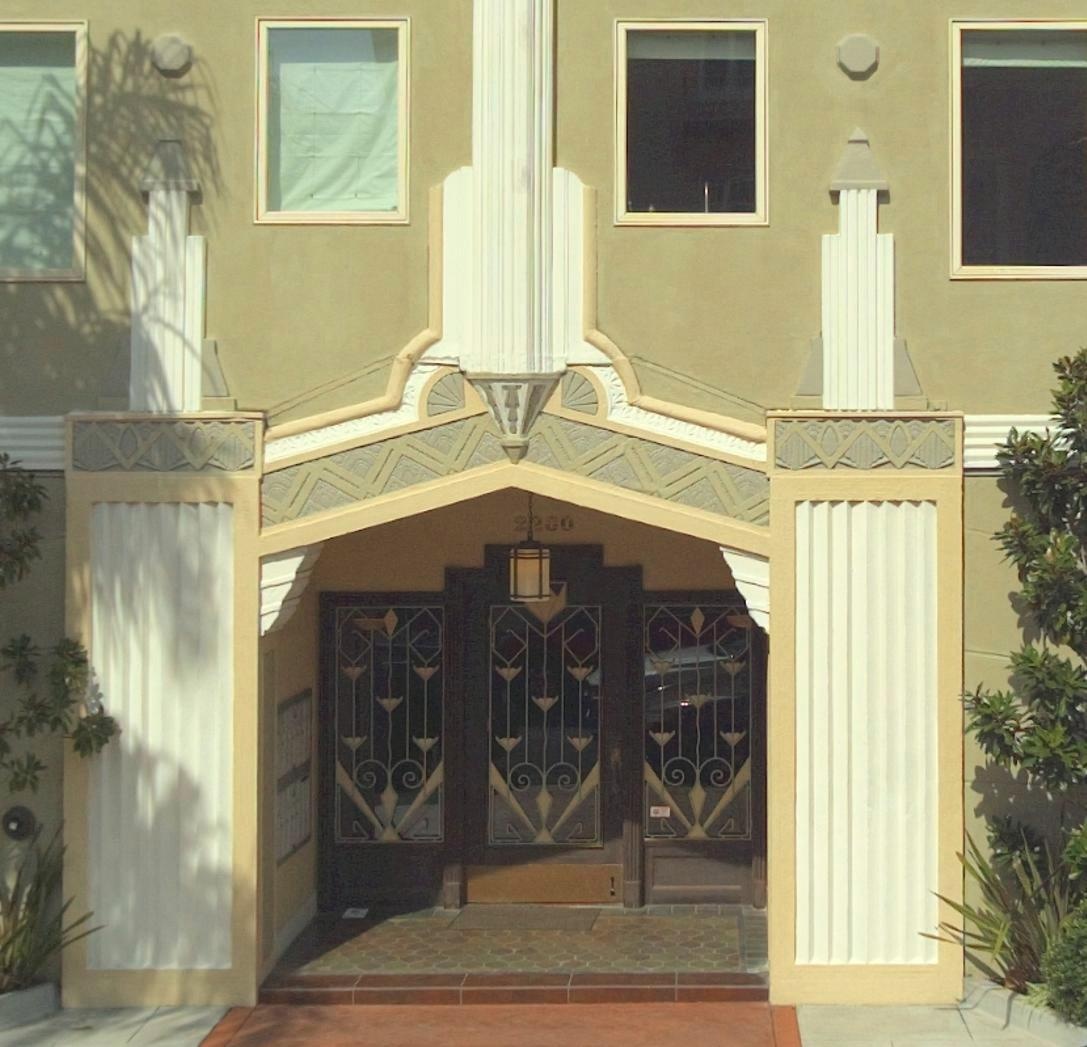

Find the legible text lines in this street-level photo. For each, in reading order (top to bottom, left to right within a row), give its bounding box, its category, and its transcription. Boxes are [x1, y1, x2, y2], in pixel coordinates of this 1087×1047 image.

[511, 513, 577, 534] StreetNumber: 2**0